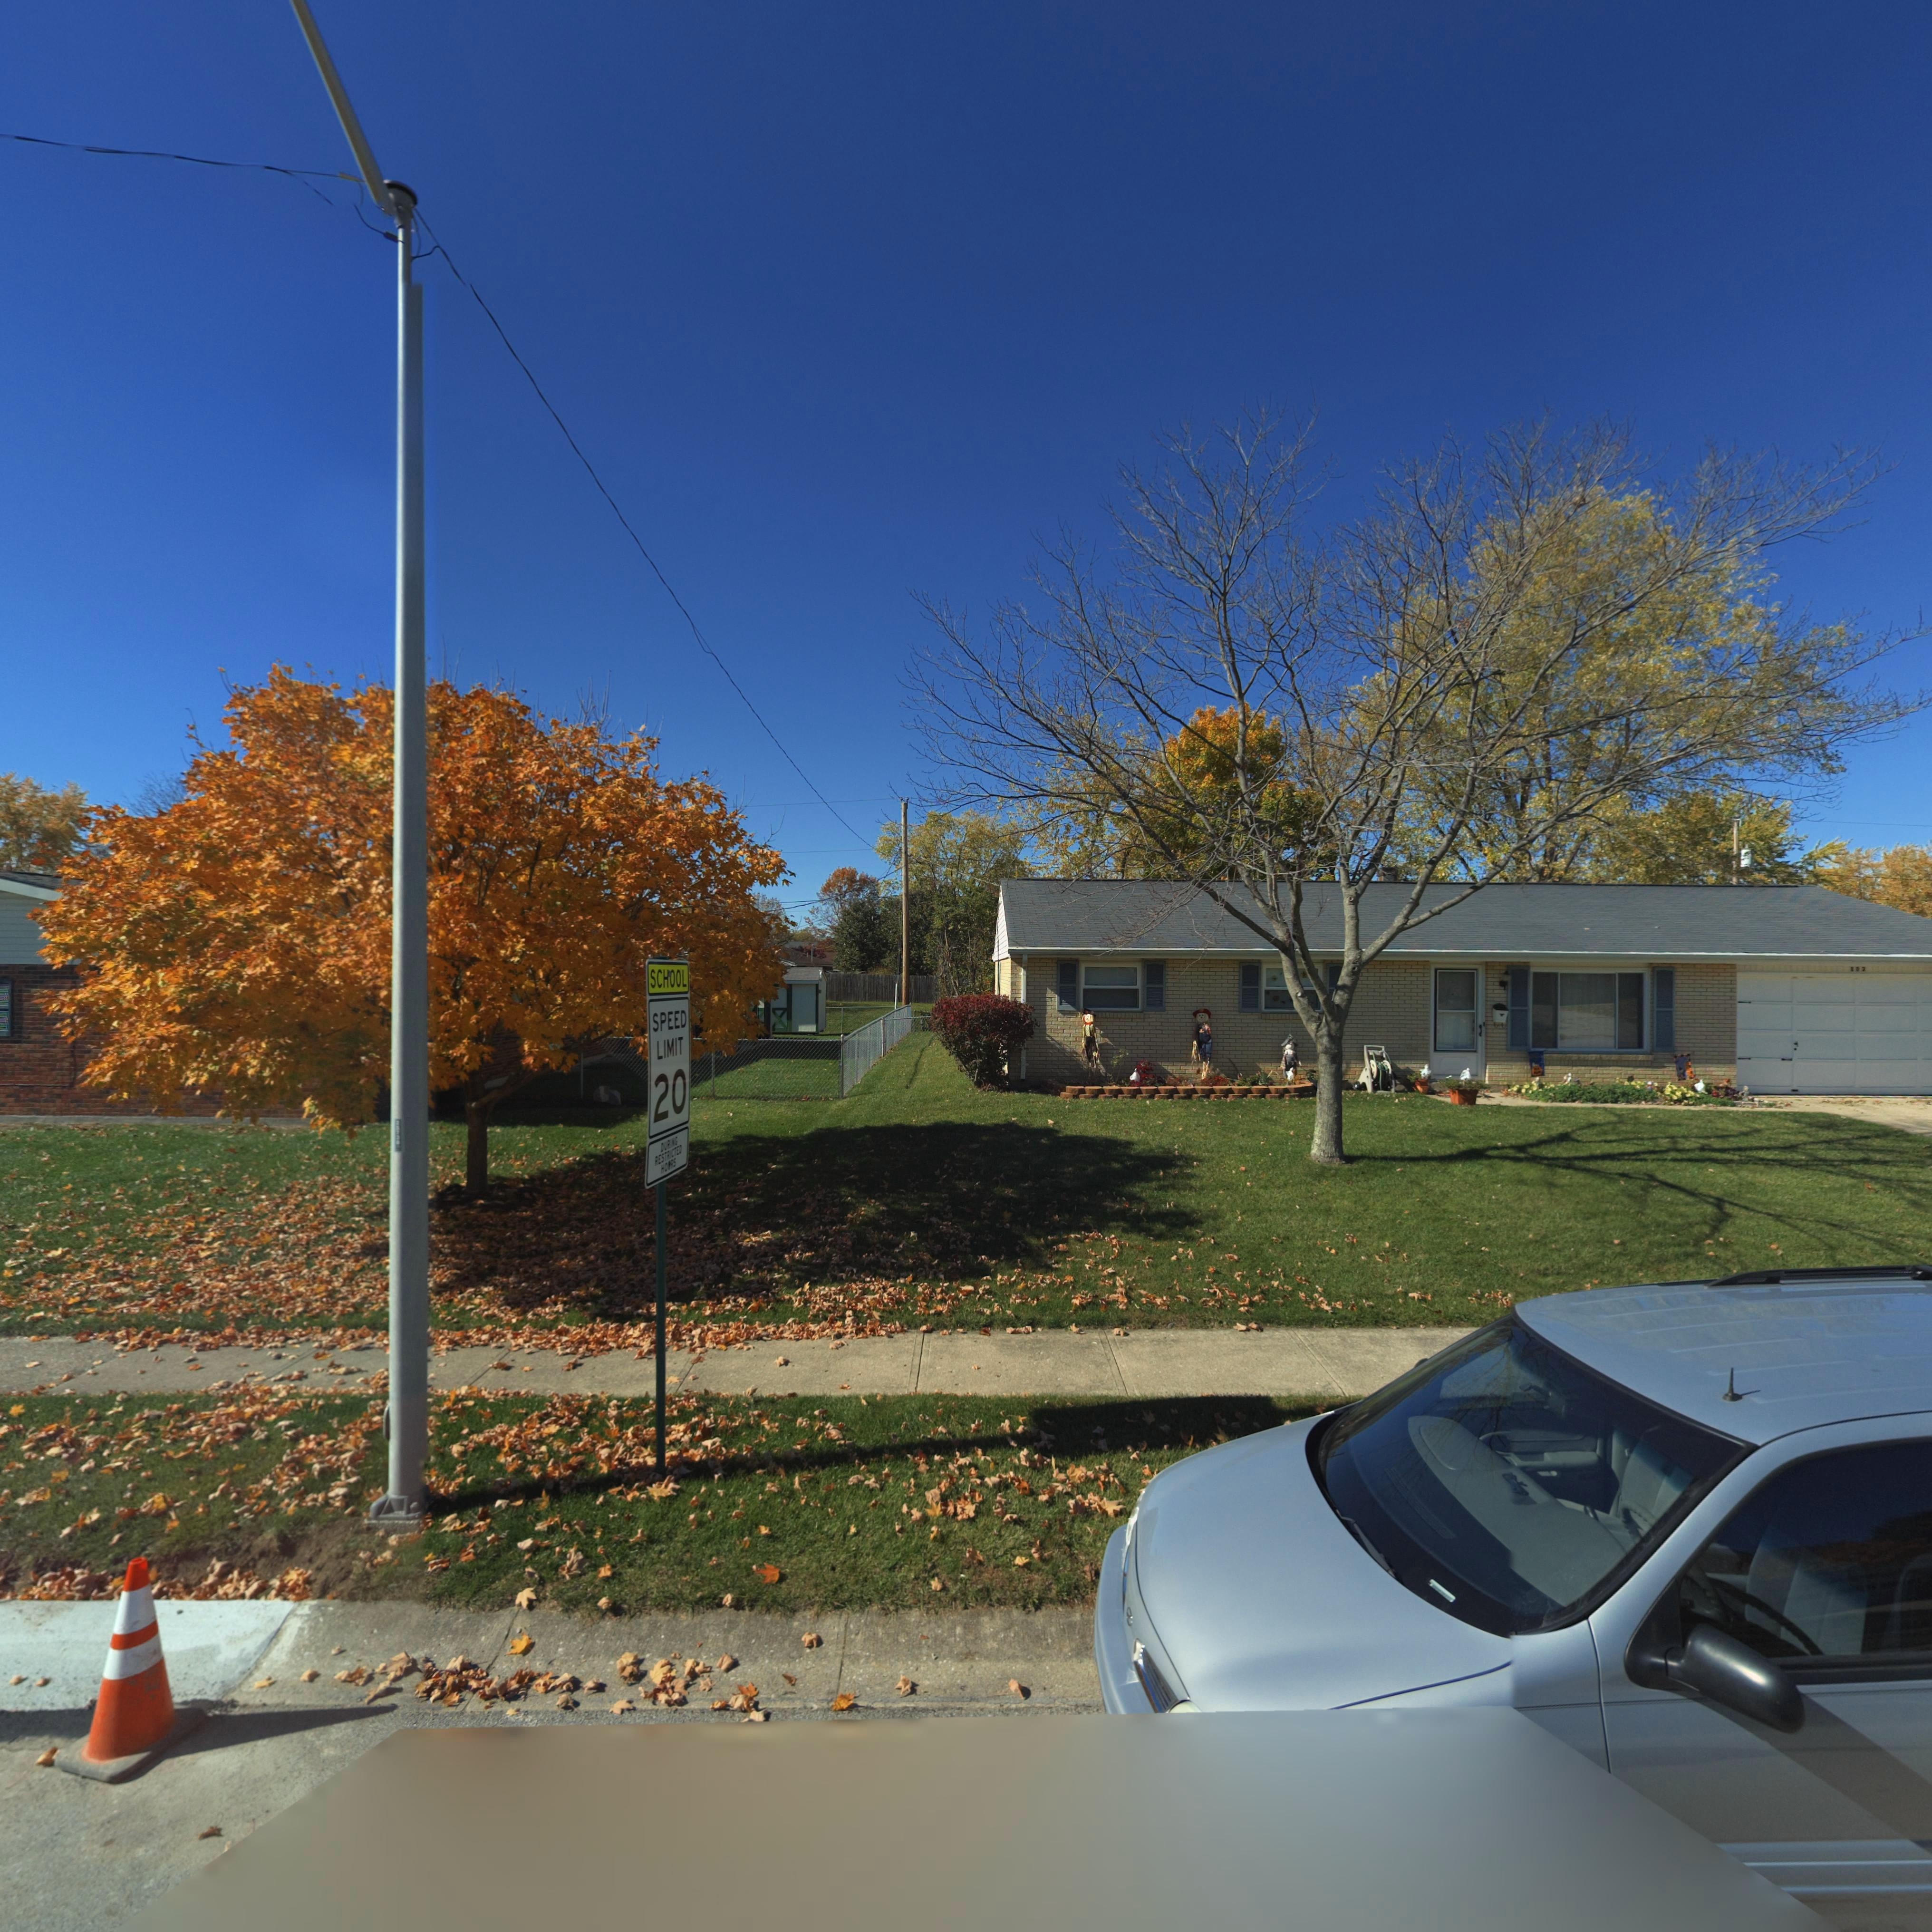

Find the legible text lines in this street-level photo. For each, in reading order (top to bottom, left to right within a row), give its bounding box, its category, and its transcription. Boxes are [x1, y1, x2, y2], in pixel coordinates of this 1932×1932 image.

[1850, 966, 1866, 972] StreetNumber: 302
[651, 1067, 688, 1125] None: 20